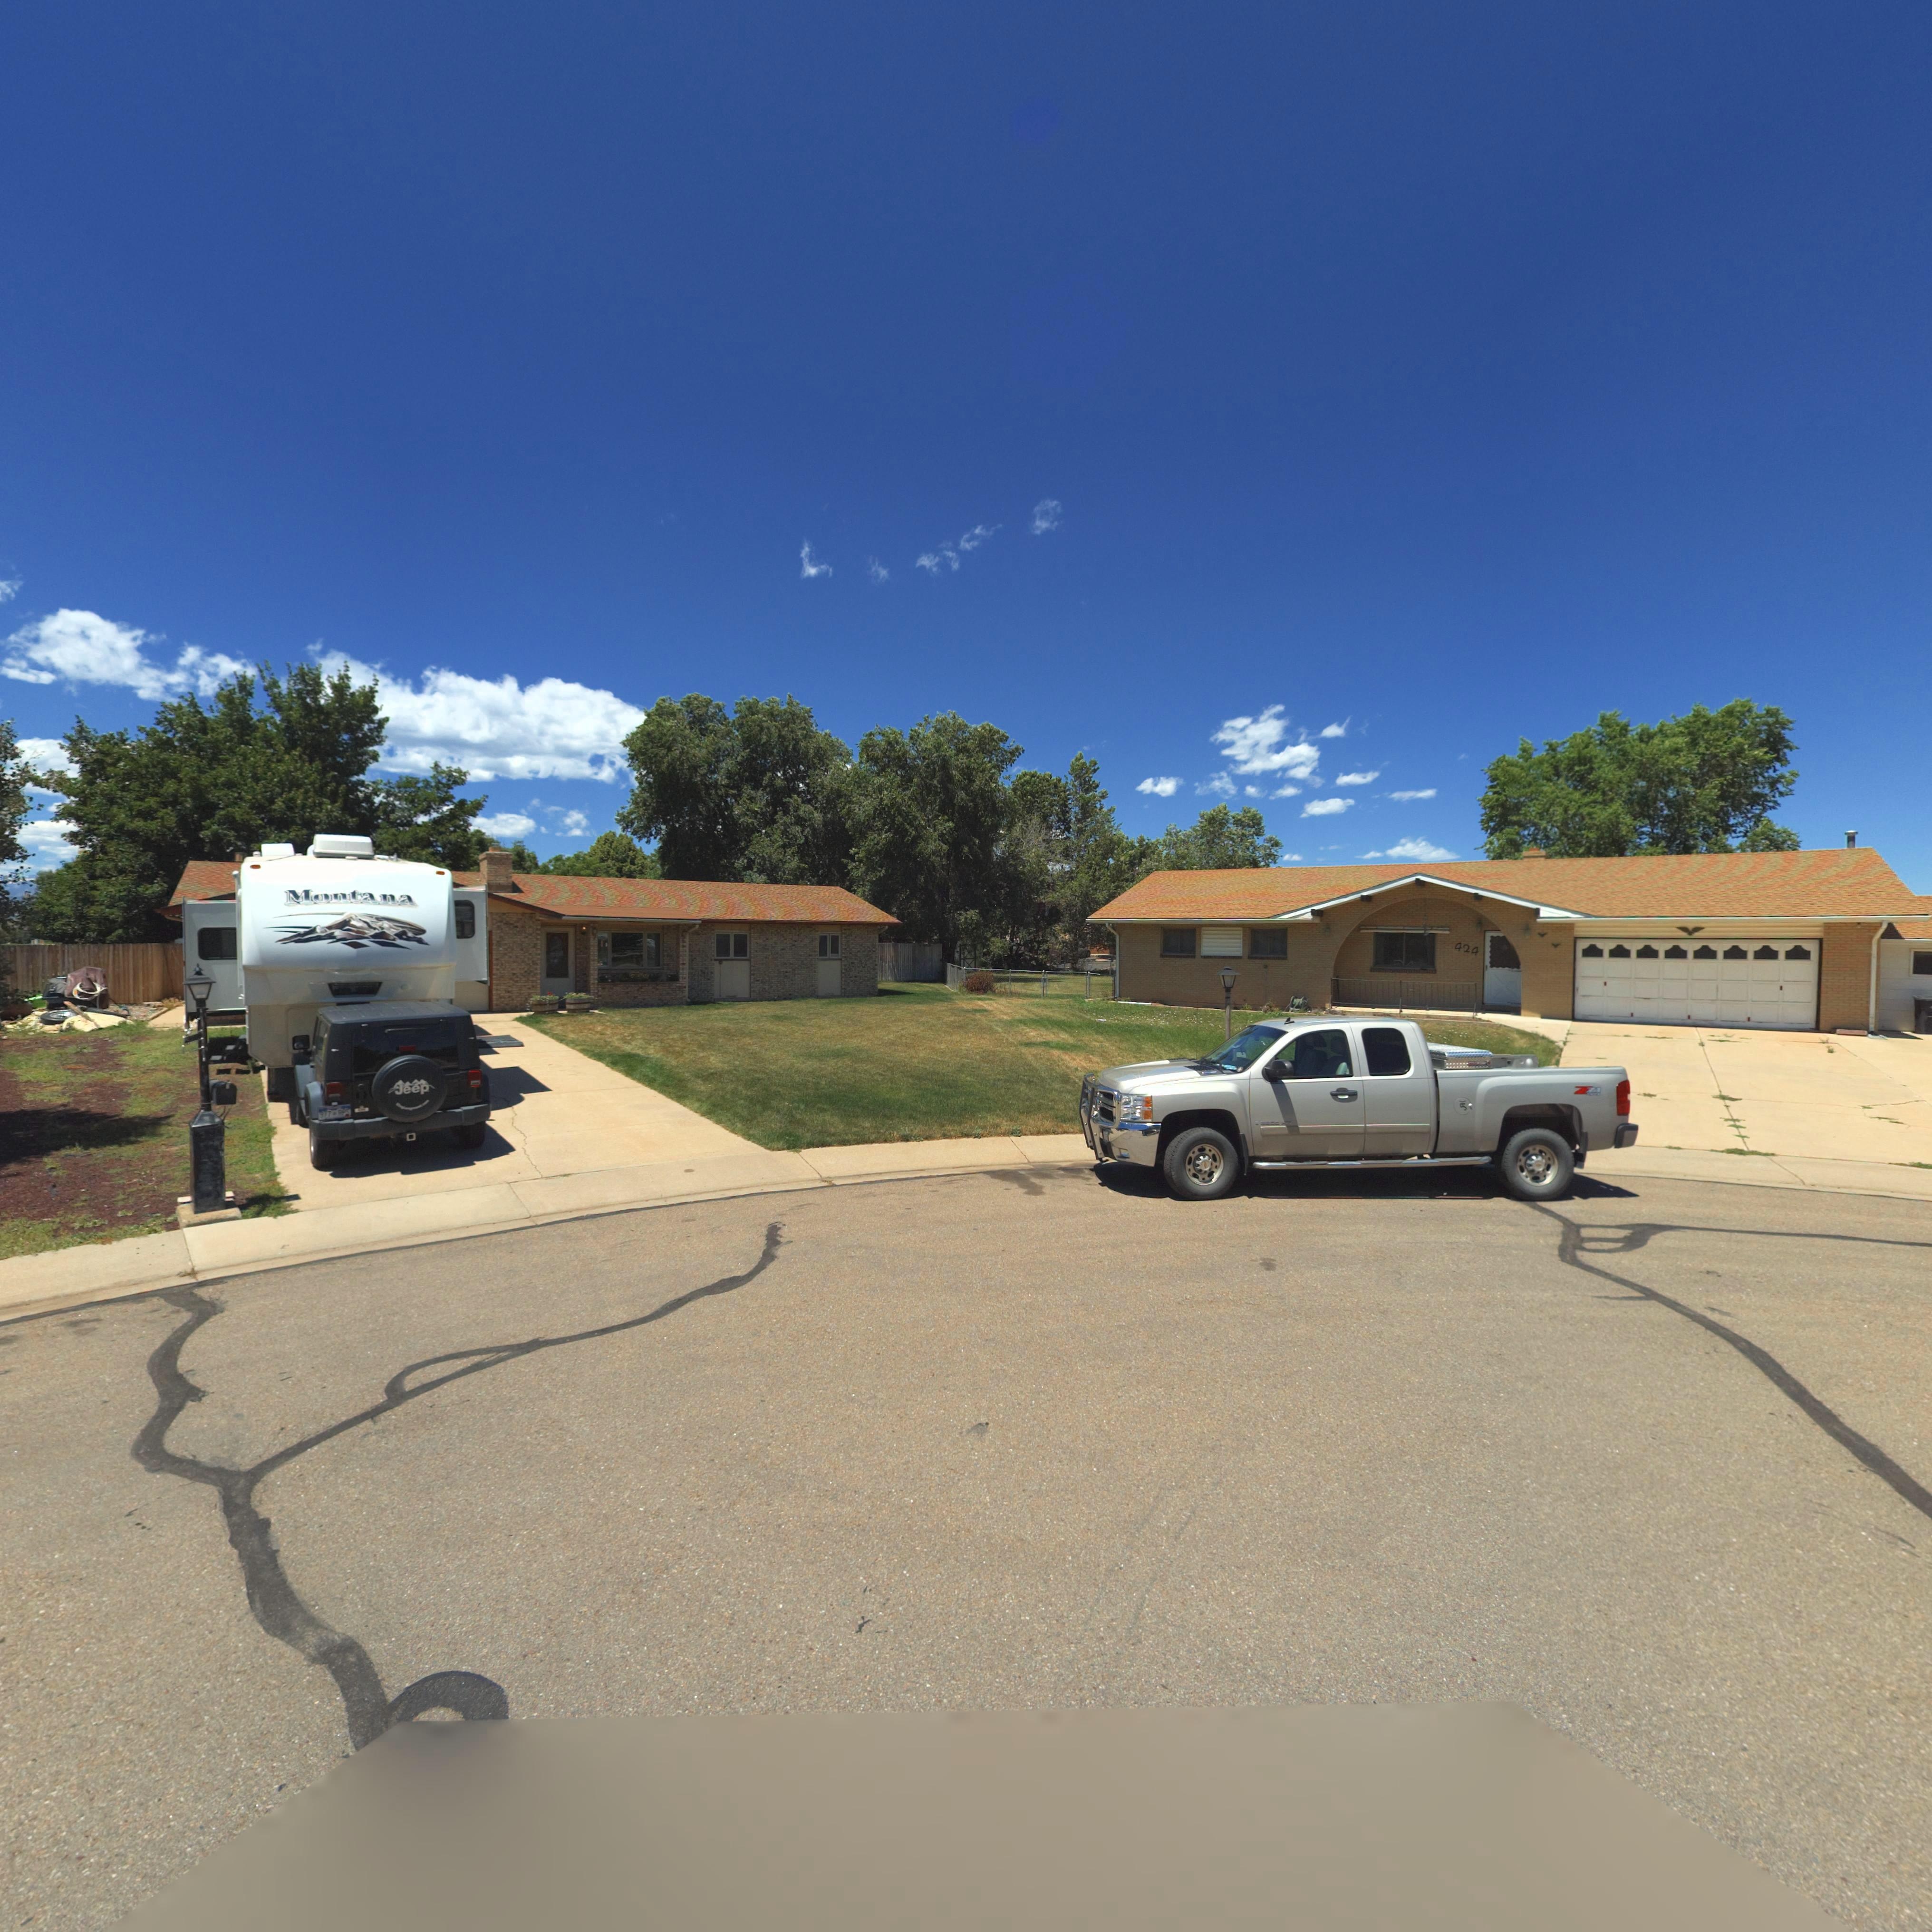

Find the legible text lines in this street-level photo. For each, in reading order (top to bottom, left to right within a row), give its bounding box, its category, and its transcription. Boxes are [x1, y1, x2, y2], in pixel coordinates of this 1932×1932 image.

[1454, 941, 1480, 956] StreetNumber: 424